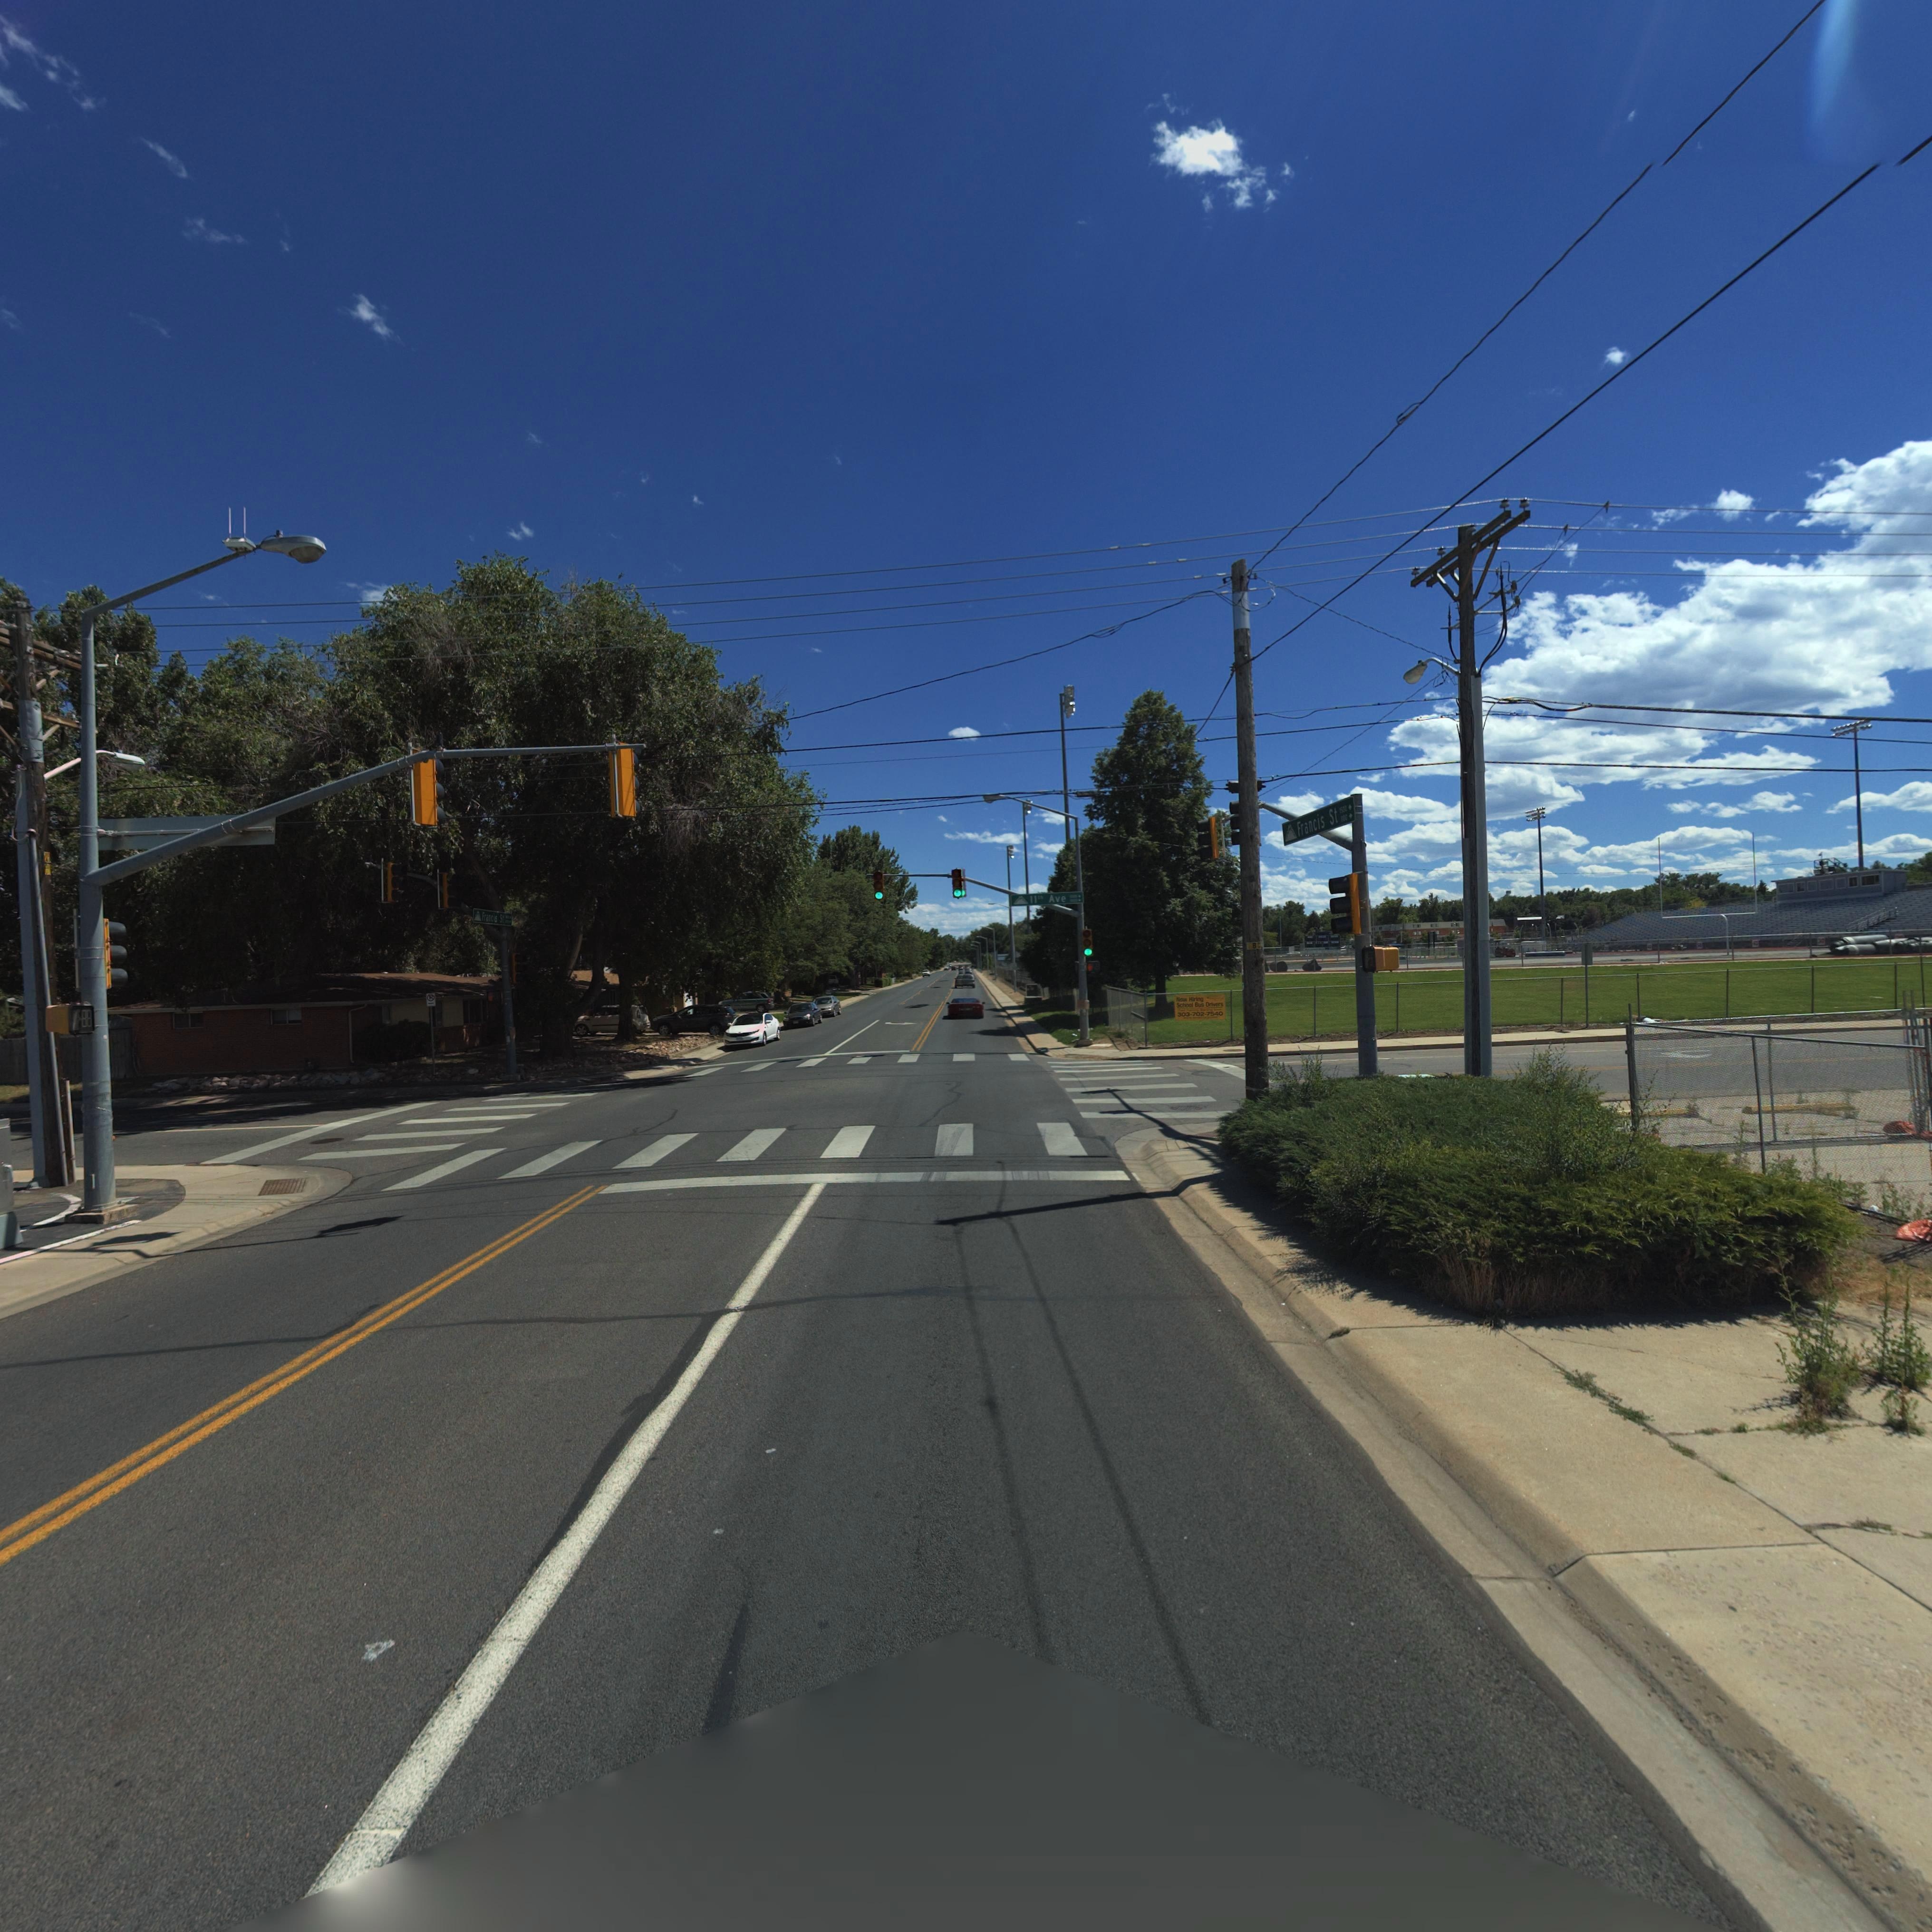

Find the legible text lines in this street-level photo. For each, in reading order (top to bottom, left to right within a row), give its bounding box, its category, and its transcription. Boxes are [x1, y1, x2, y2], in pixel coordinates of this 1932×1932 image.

[1339, 804, 1348, 814] StreetNumberRange: 1500
[1296, 807, 1338, 837] StreetName: Francis St
[1340, 812, 1354, 822] StreetNumberRange: 1*00 ->
[1029, 894, 1066, 904] StreetName: 11th Ave
[482, 911, 504, 924] StreetName: Francis St